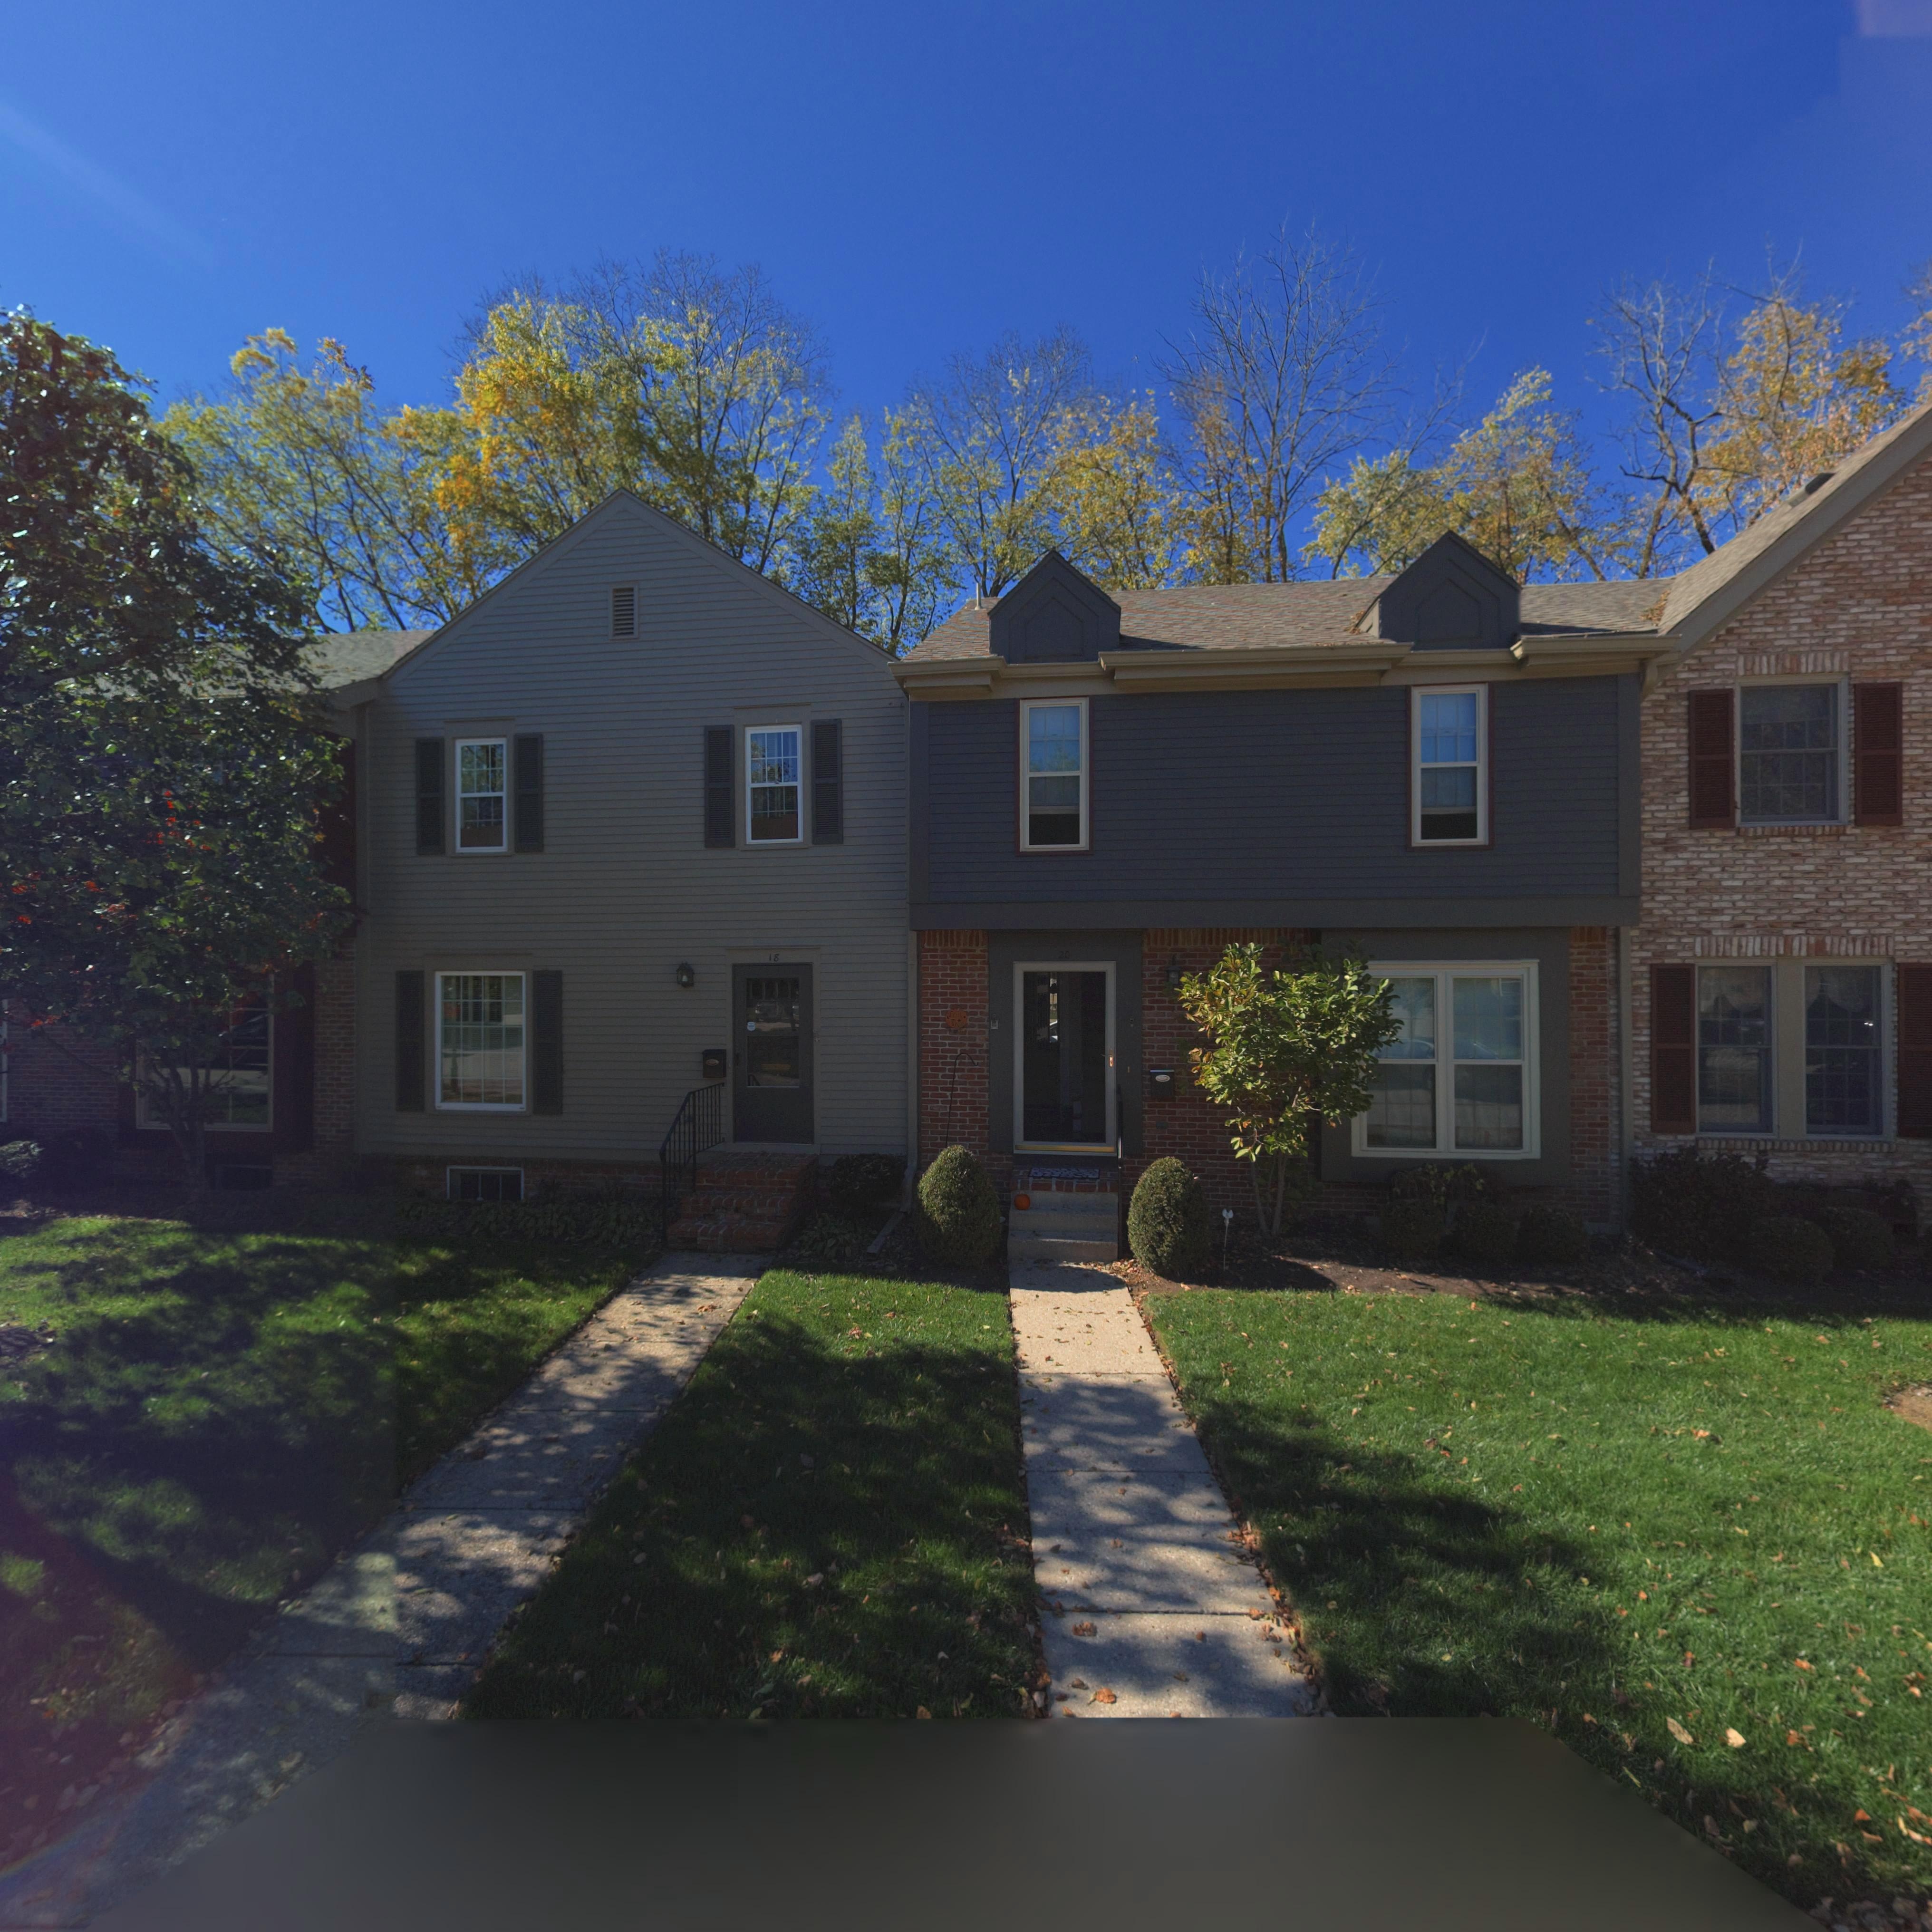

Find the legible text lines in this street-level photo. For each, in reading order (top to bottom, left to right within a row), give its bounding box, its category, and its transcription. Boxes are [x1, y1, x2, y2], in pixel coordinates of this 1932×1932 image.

[768, 952, 781, 962] StreetNumber: 18
[1057, 950, 1072, 959] StreetNumber: 20